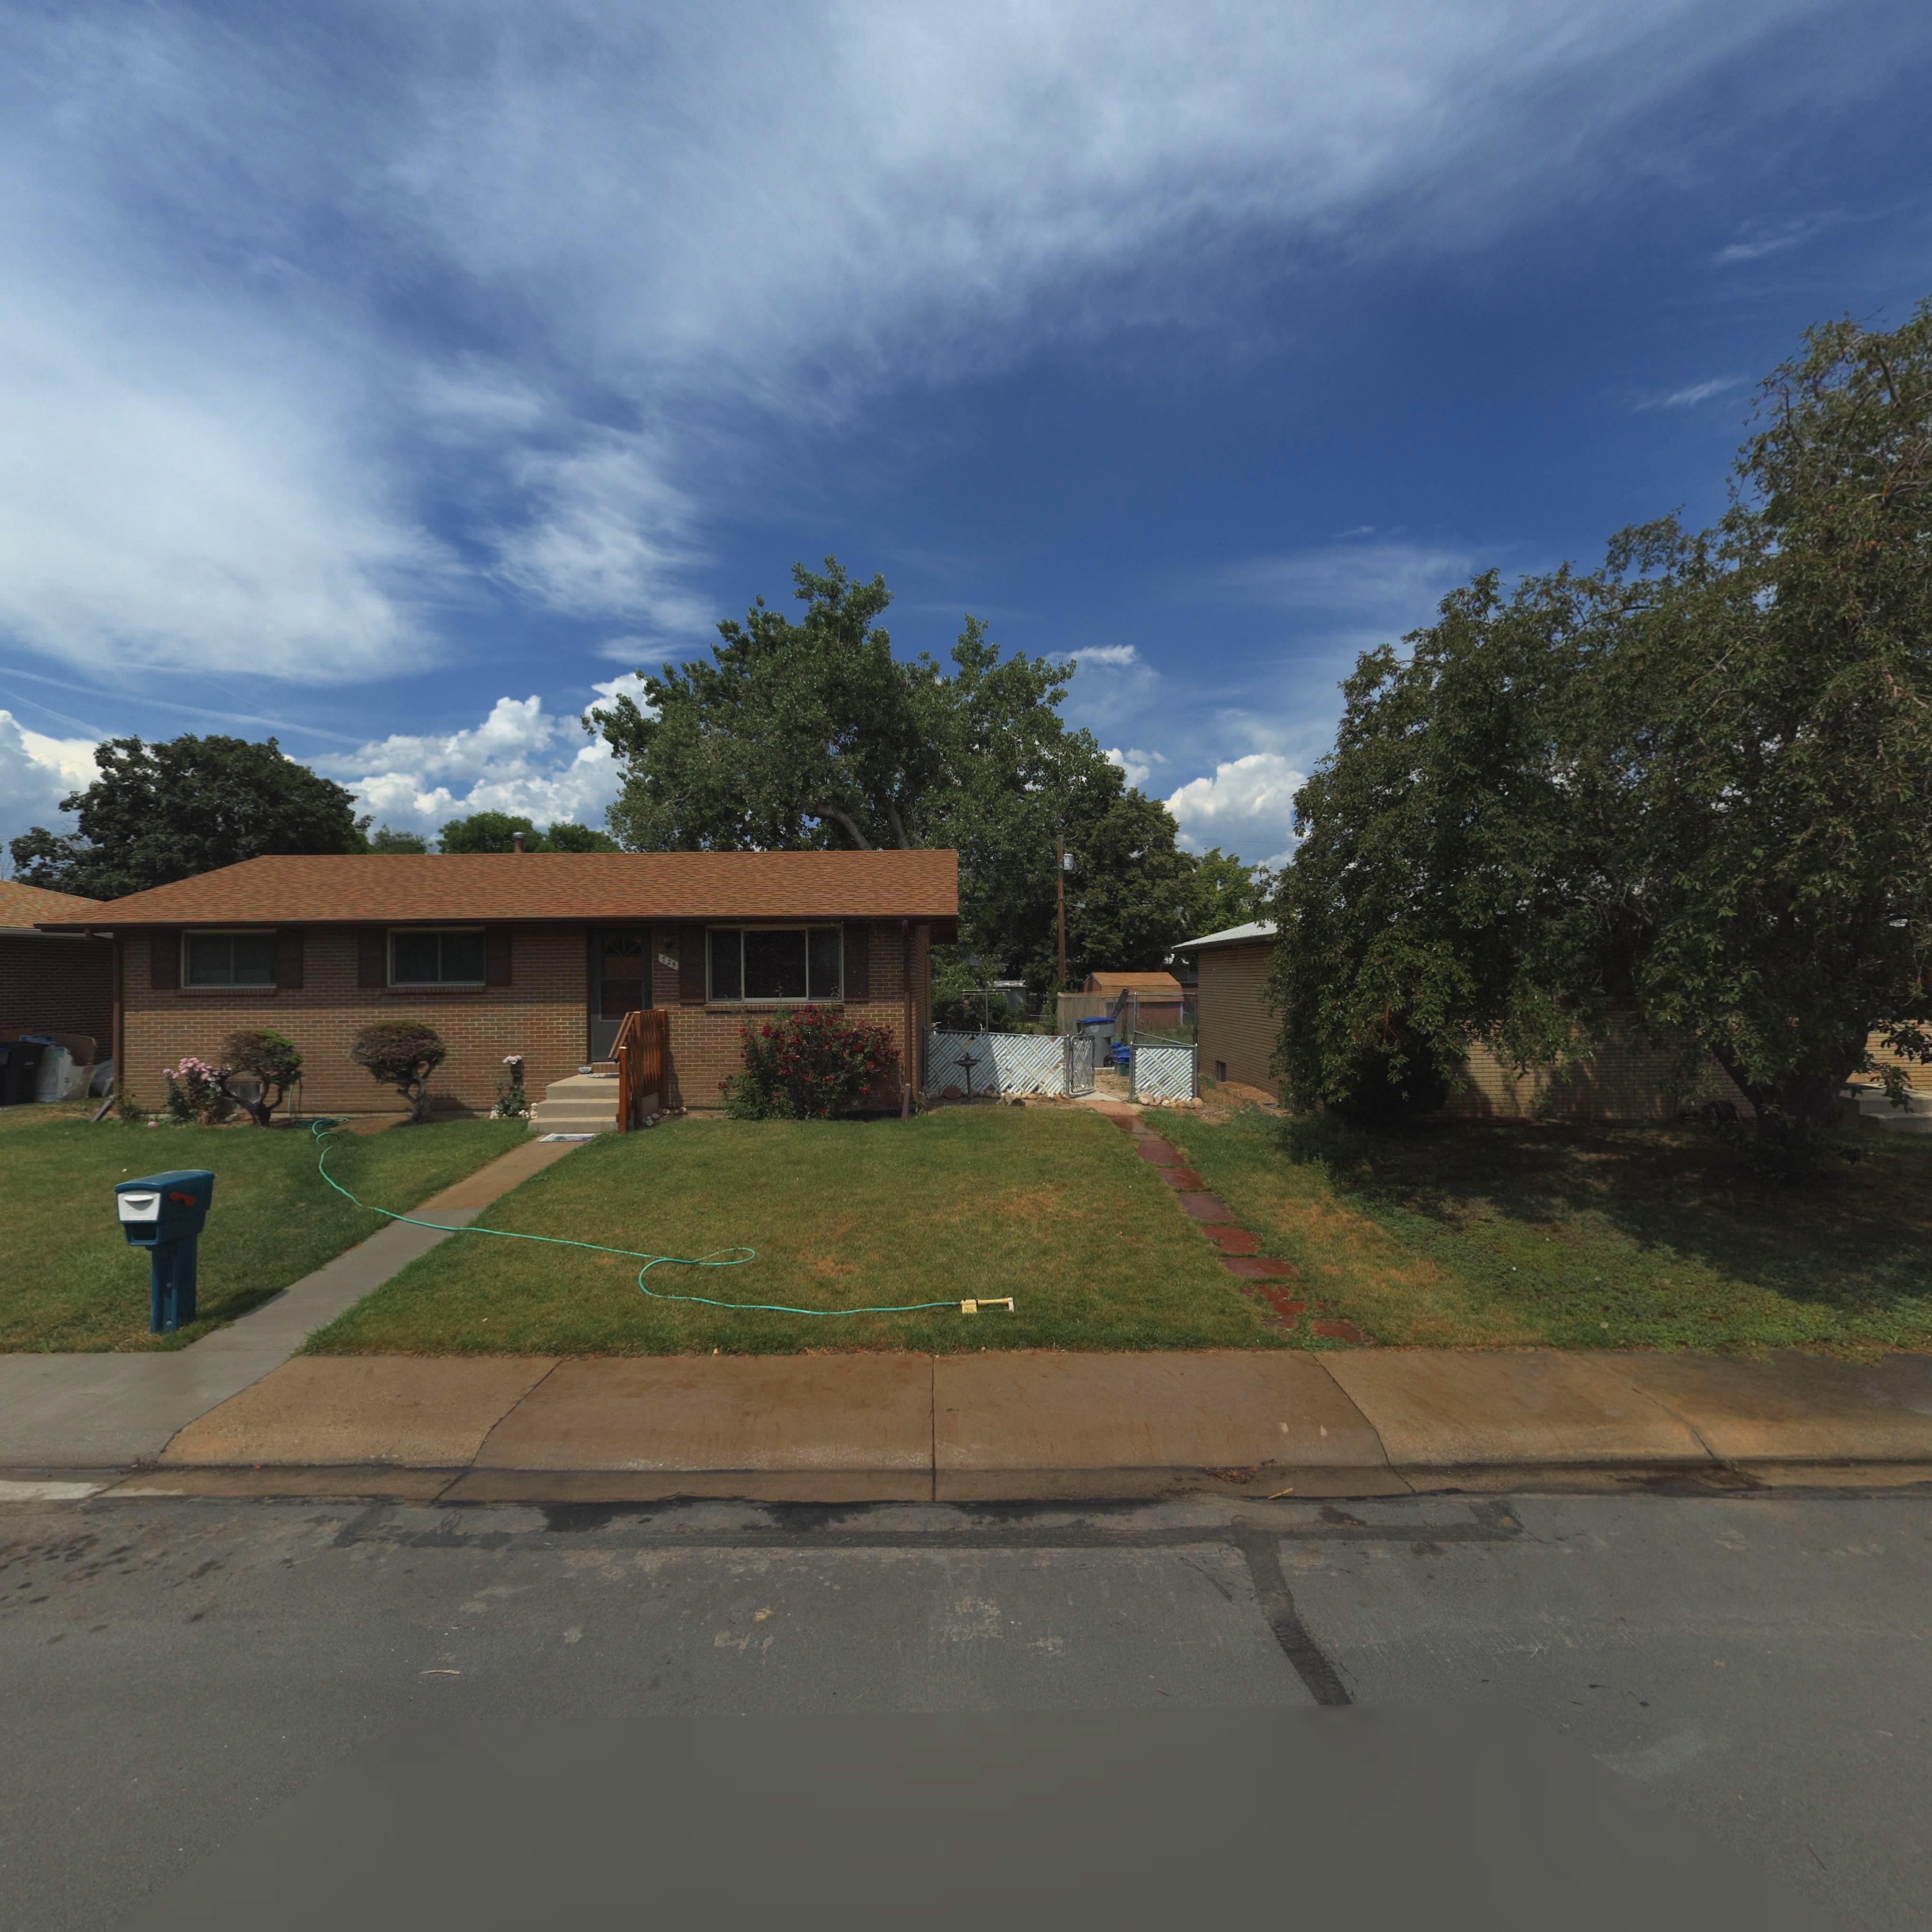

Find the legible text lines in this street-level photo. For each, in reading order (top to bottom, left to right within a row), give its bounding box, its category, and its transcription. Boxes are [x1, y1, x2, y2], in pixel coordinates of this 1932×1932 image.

[658, 954, 677, 969] StreetNumber: 725